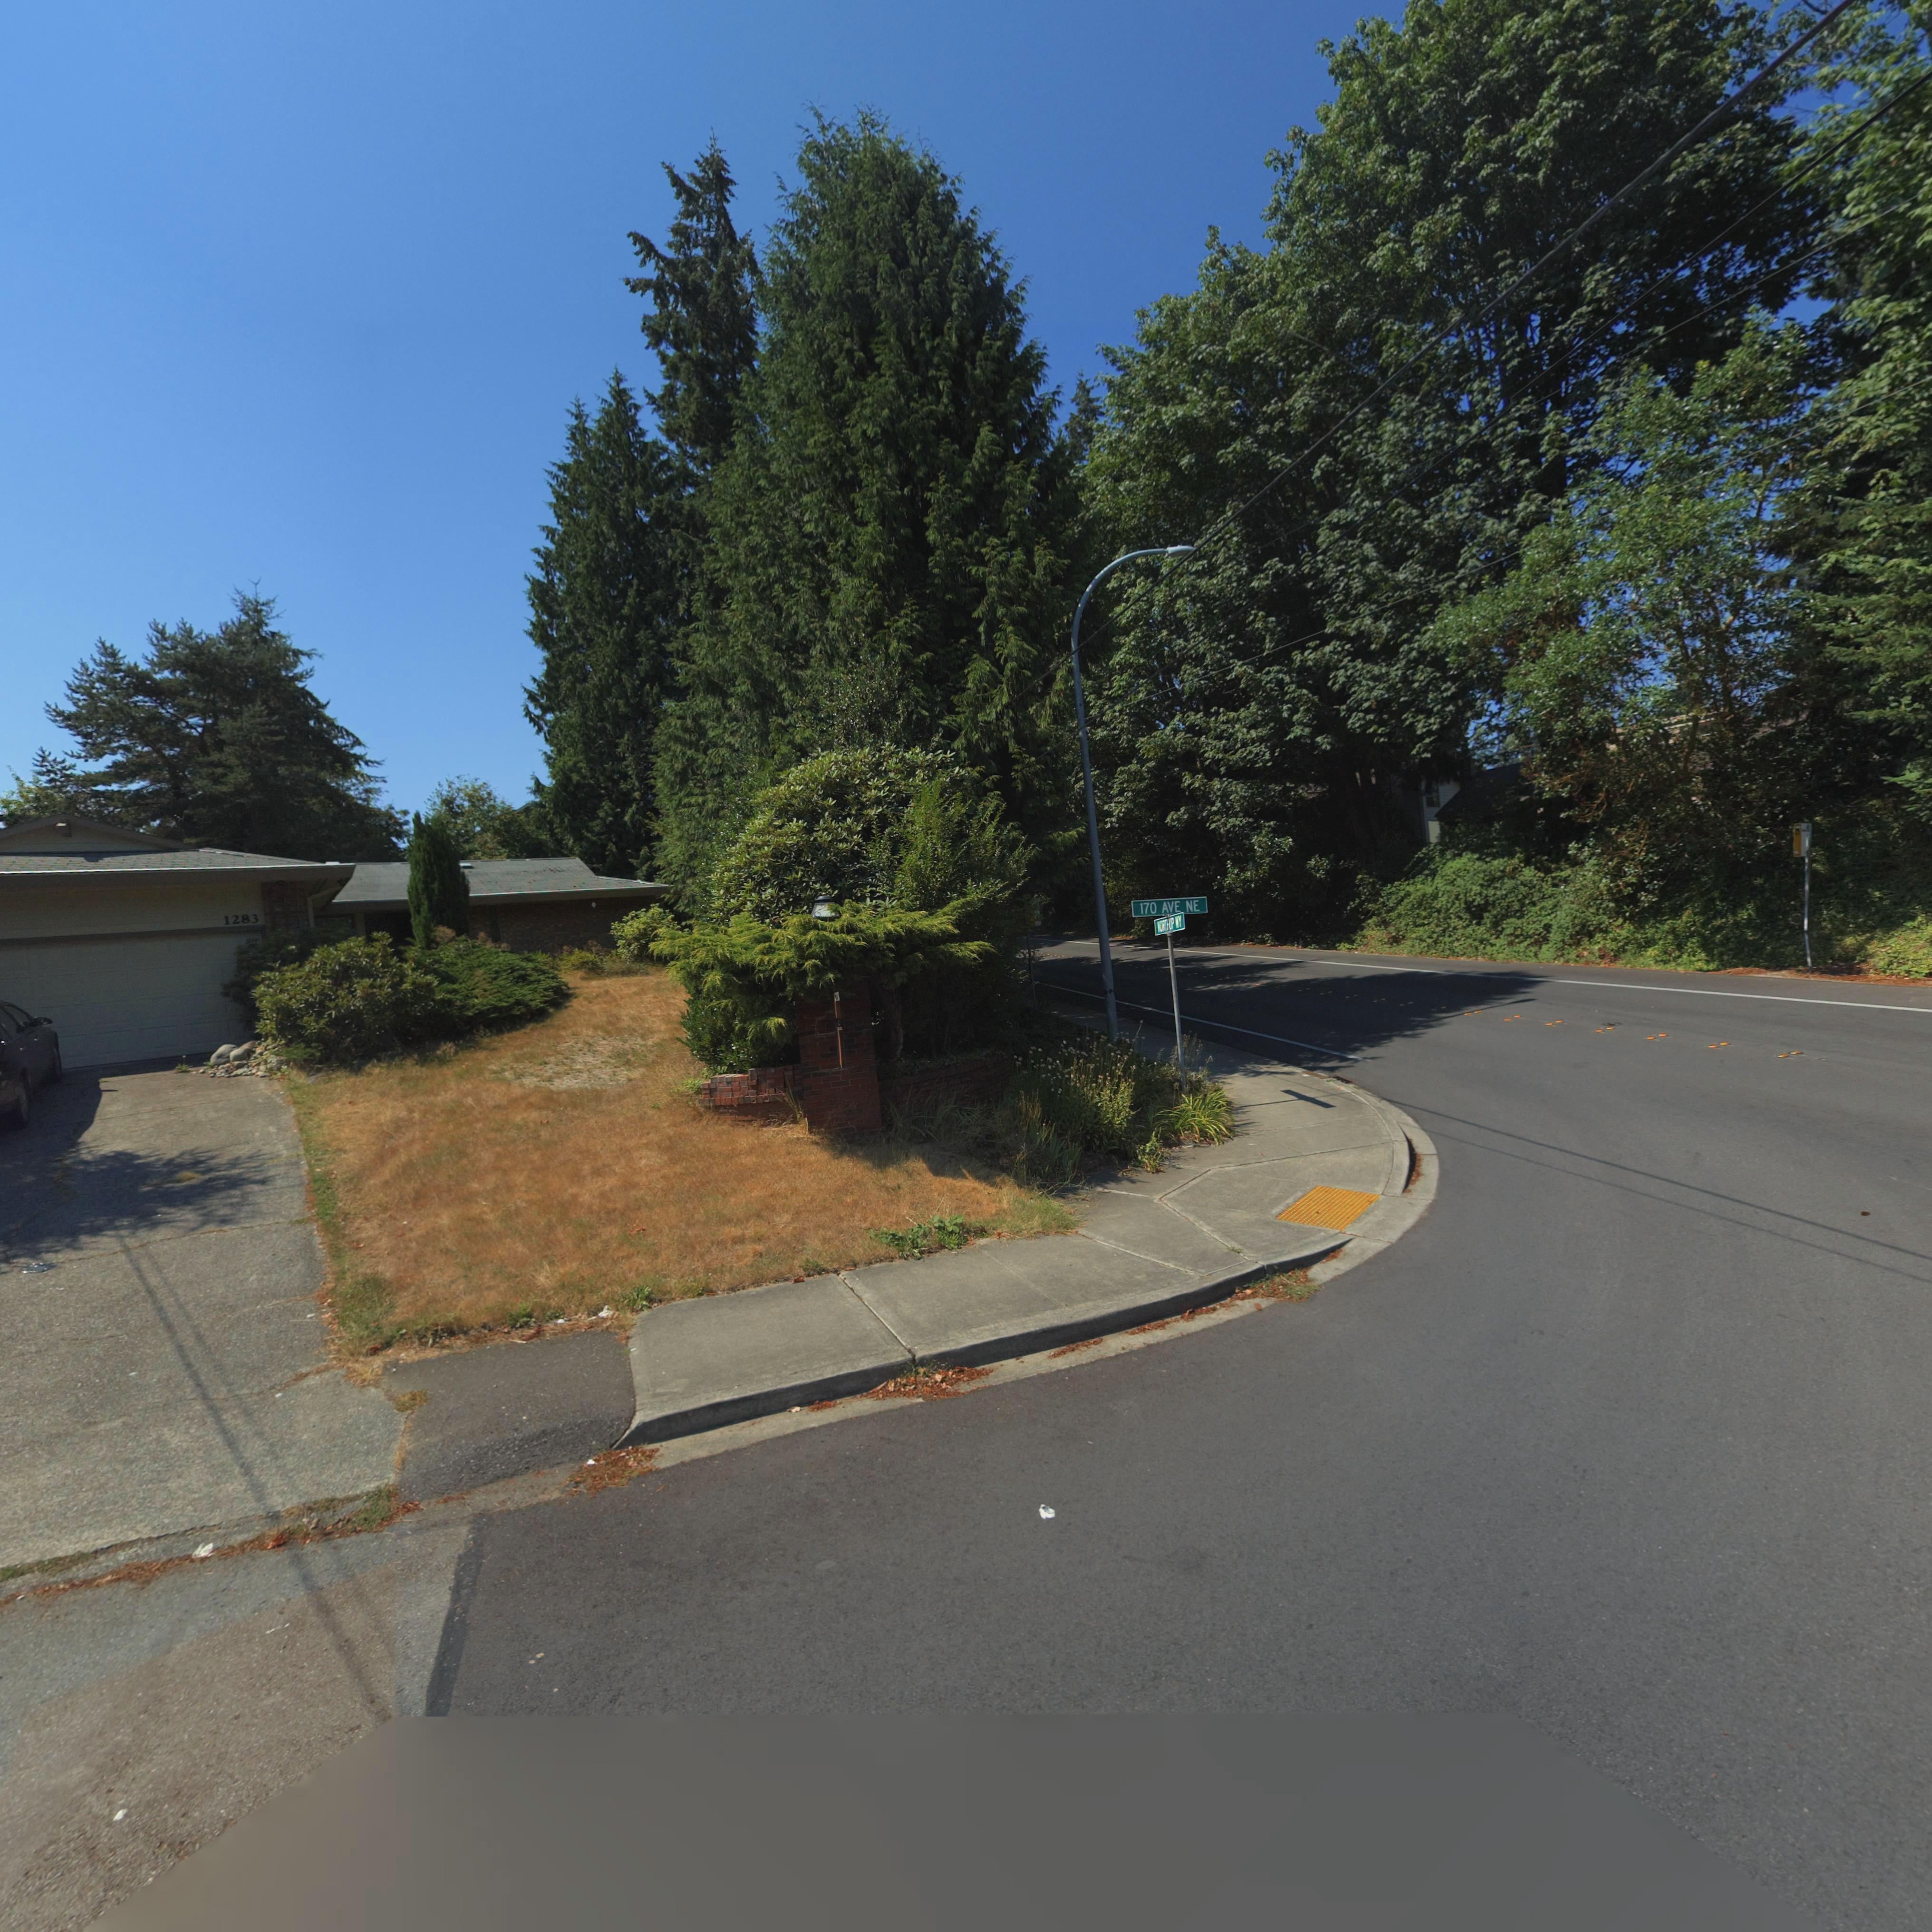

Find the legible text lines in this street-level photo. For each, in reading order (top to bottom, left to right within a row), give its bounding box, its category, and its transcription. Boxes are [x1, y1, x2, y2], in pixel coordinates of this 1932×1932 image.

[1140, 899, 1200, 915] StreetName: 170 AVE NE
[223, 912, 259, 926] StreetNumber: 1283
[1157, 914, 1181, 933] StreetName: **RTHUP WY